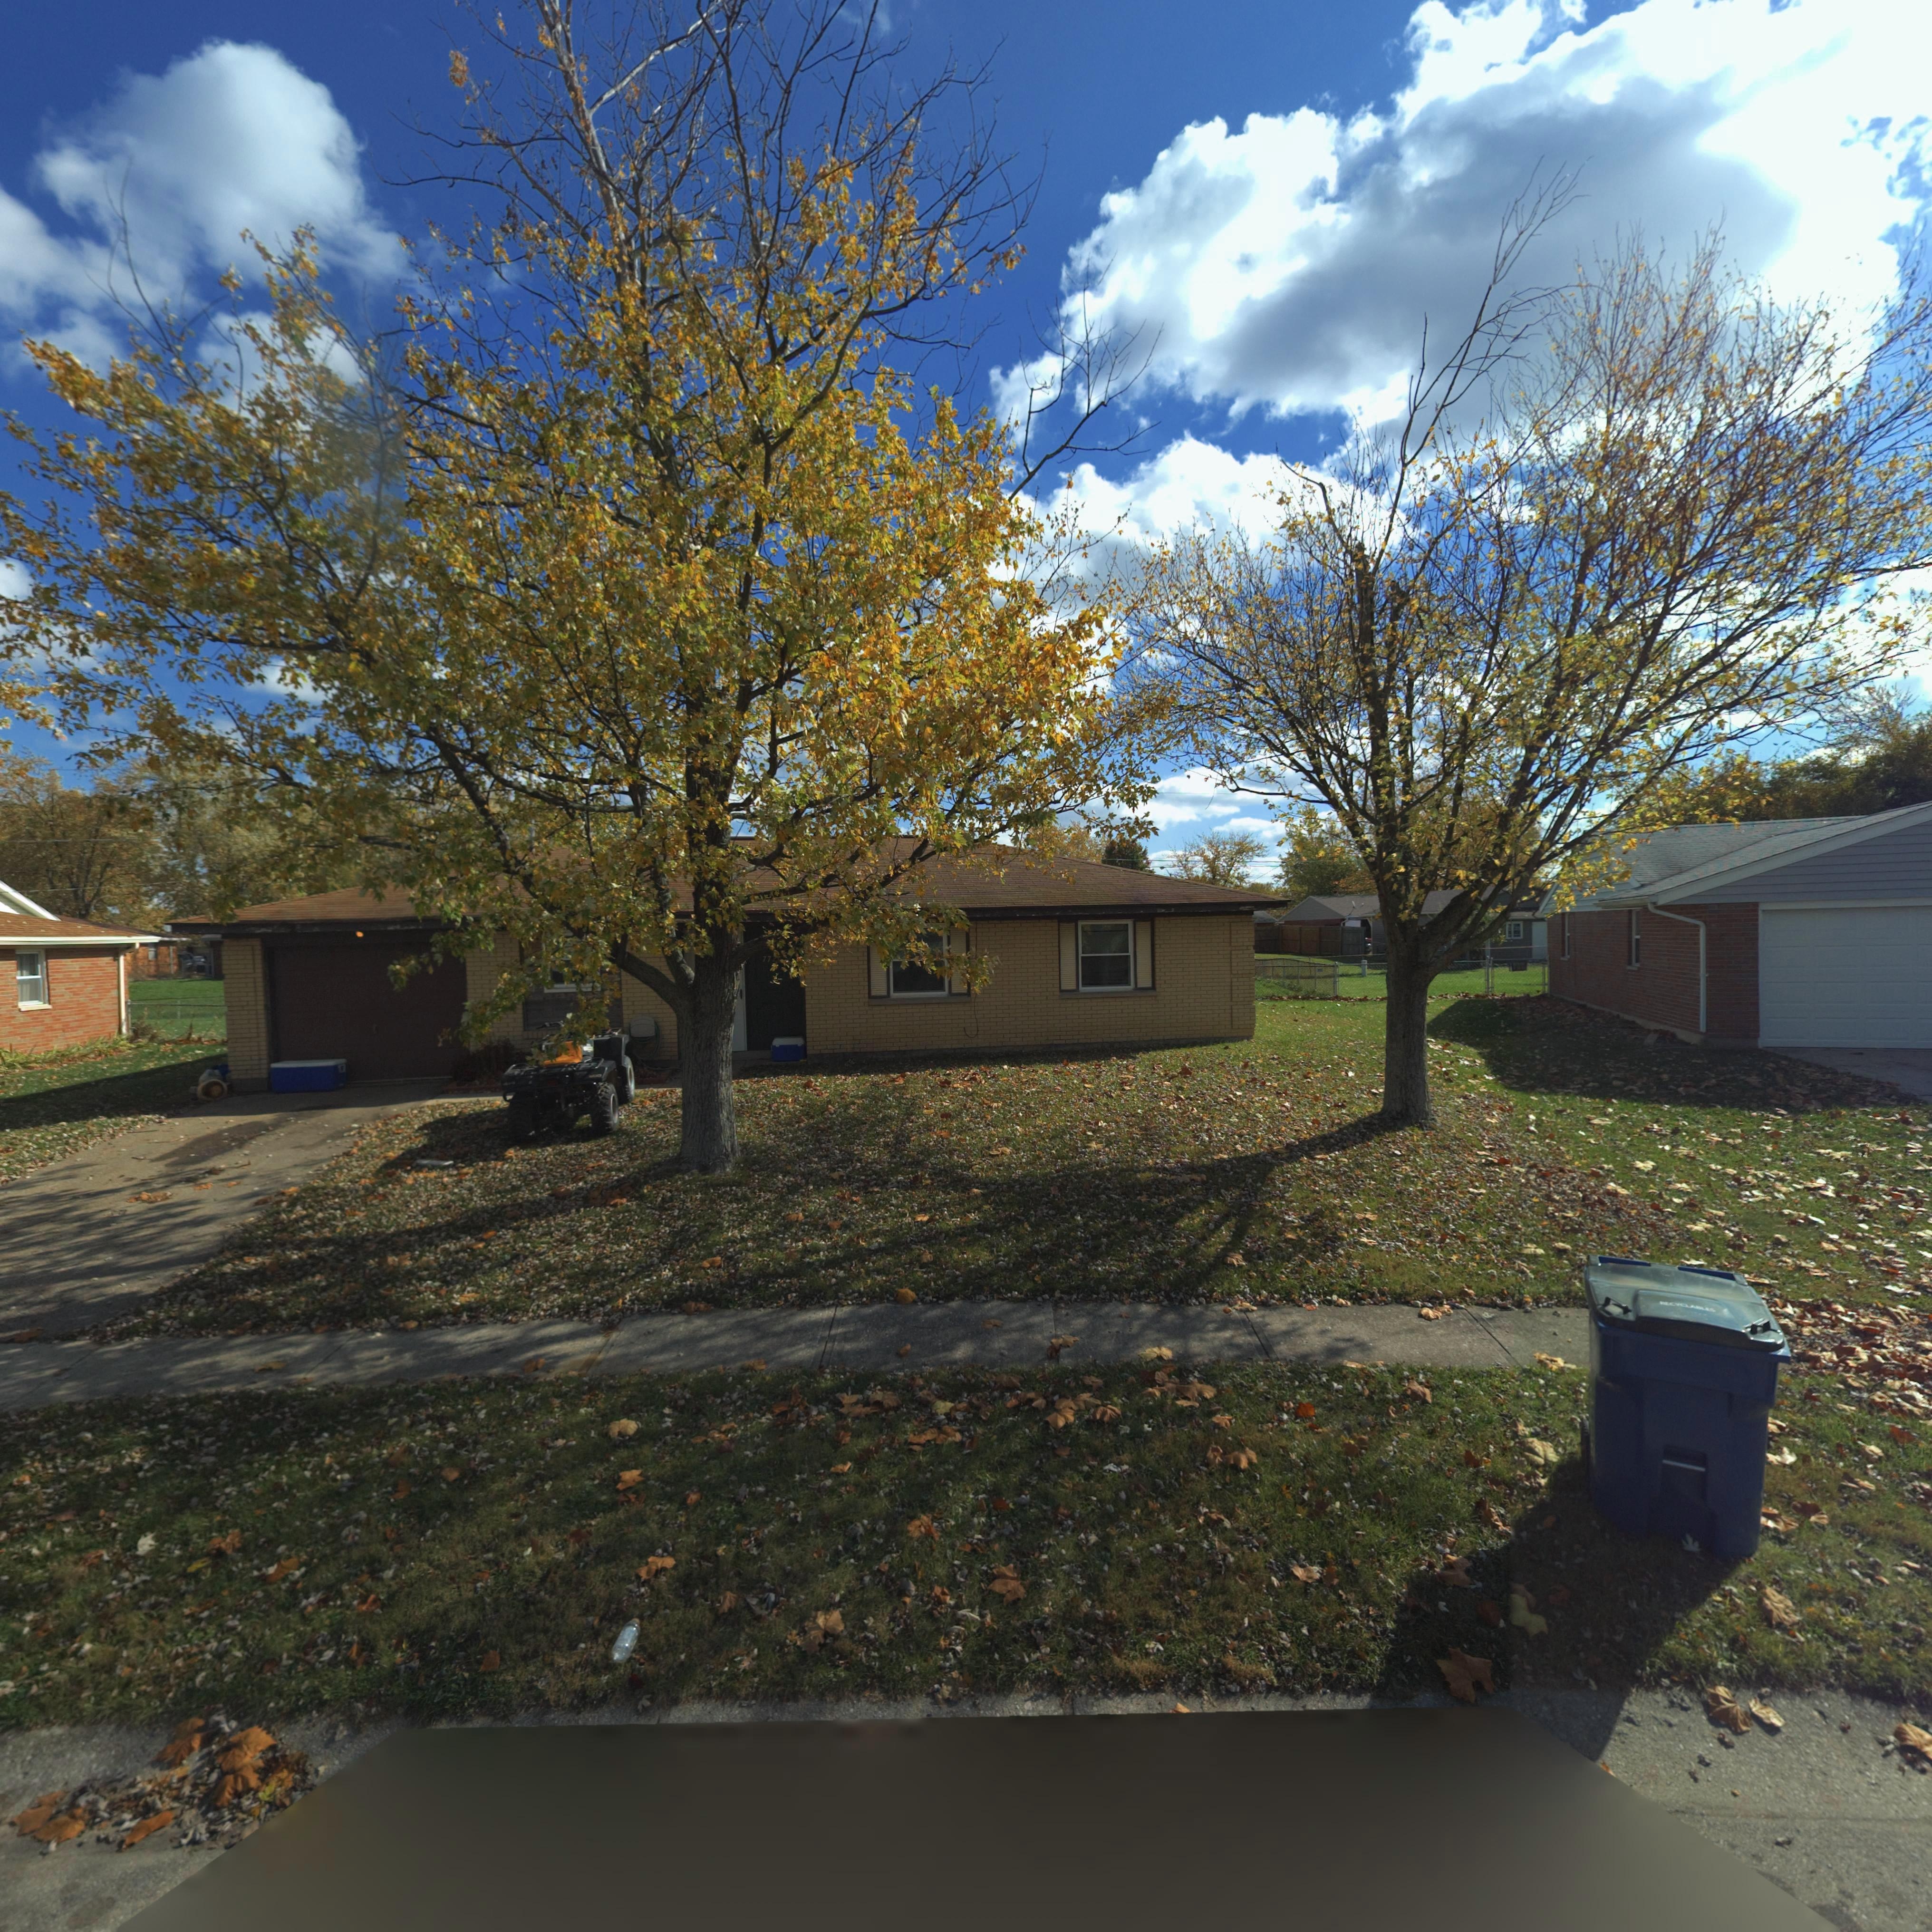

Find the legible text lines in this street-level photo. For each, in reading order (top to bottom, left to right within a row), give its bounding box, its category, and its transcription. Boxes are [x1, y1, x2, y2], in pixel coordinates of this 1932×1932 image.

[762, 956, 772, 963] StreetNumber: 77